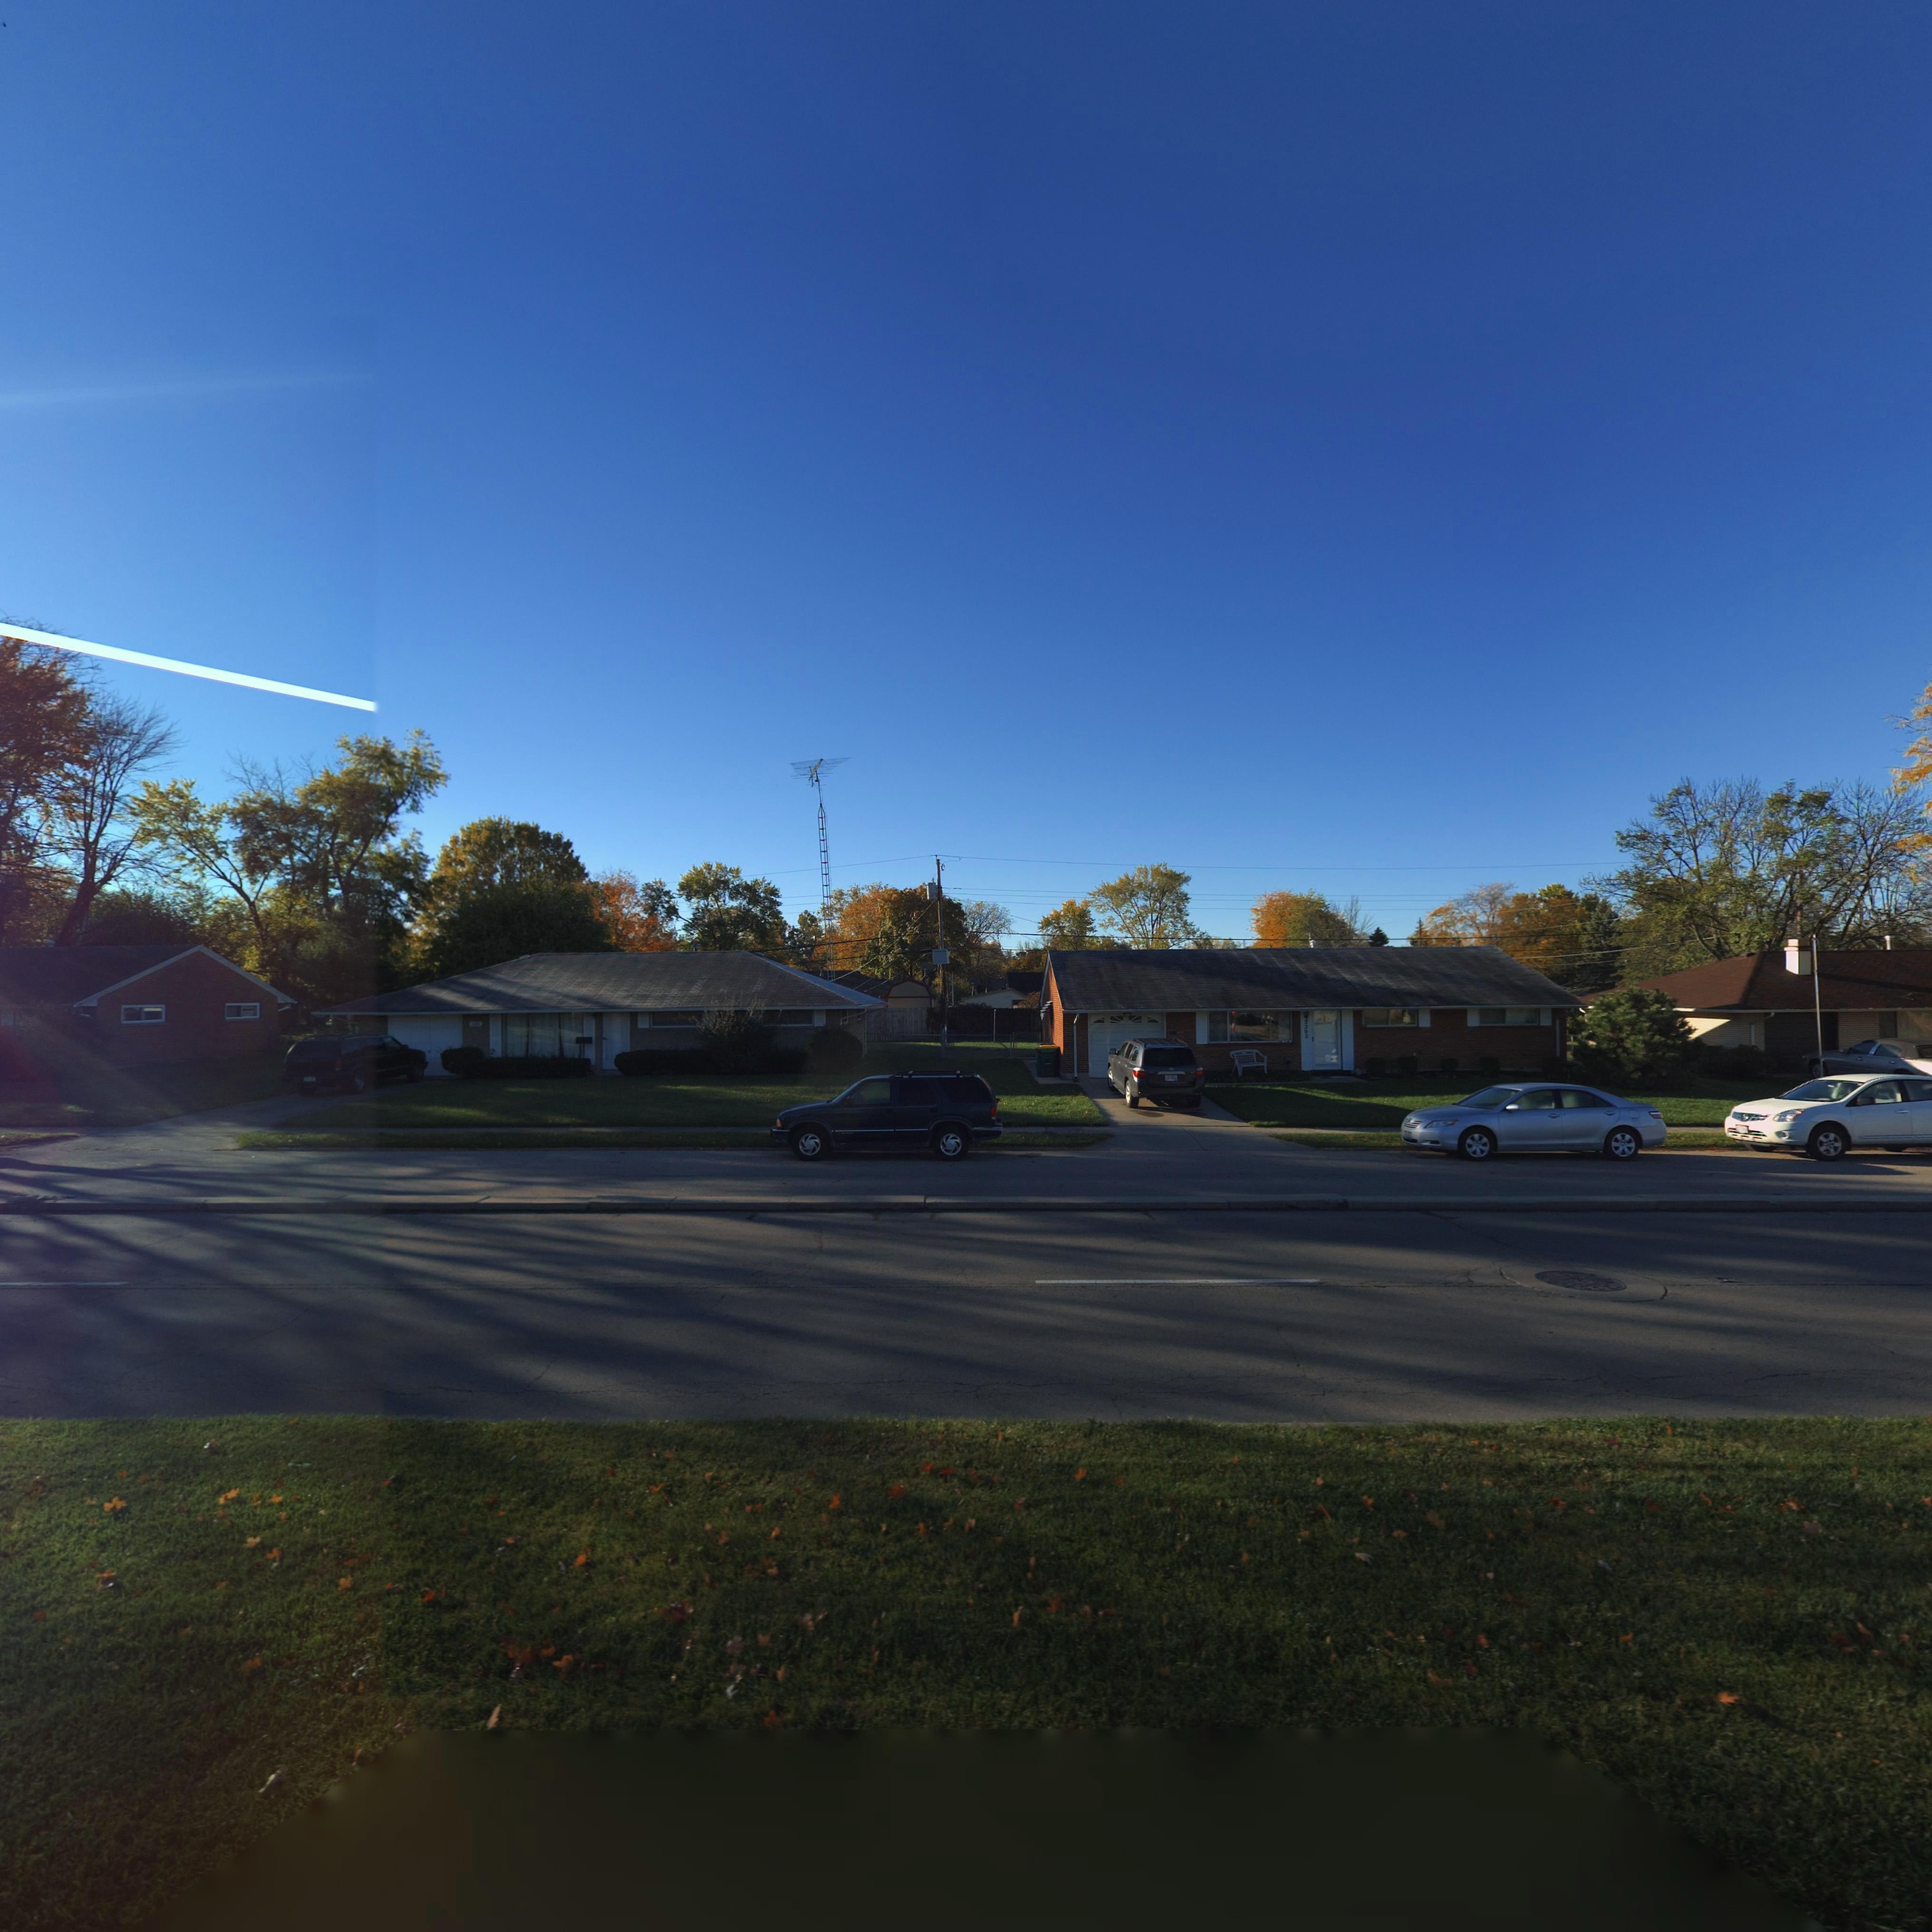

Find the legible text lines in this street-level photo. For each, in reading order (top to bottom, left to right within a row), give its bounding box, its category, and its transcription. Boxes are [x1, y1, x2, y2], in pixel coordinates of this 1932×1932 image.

[1304, 1019, 1309, 1039] StreetNumber: 2202